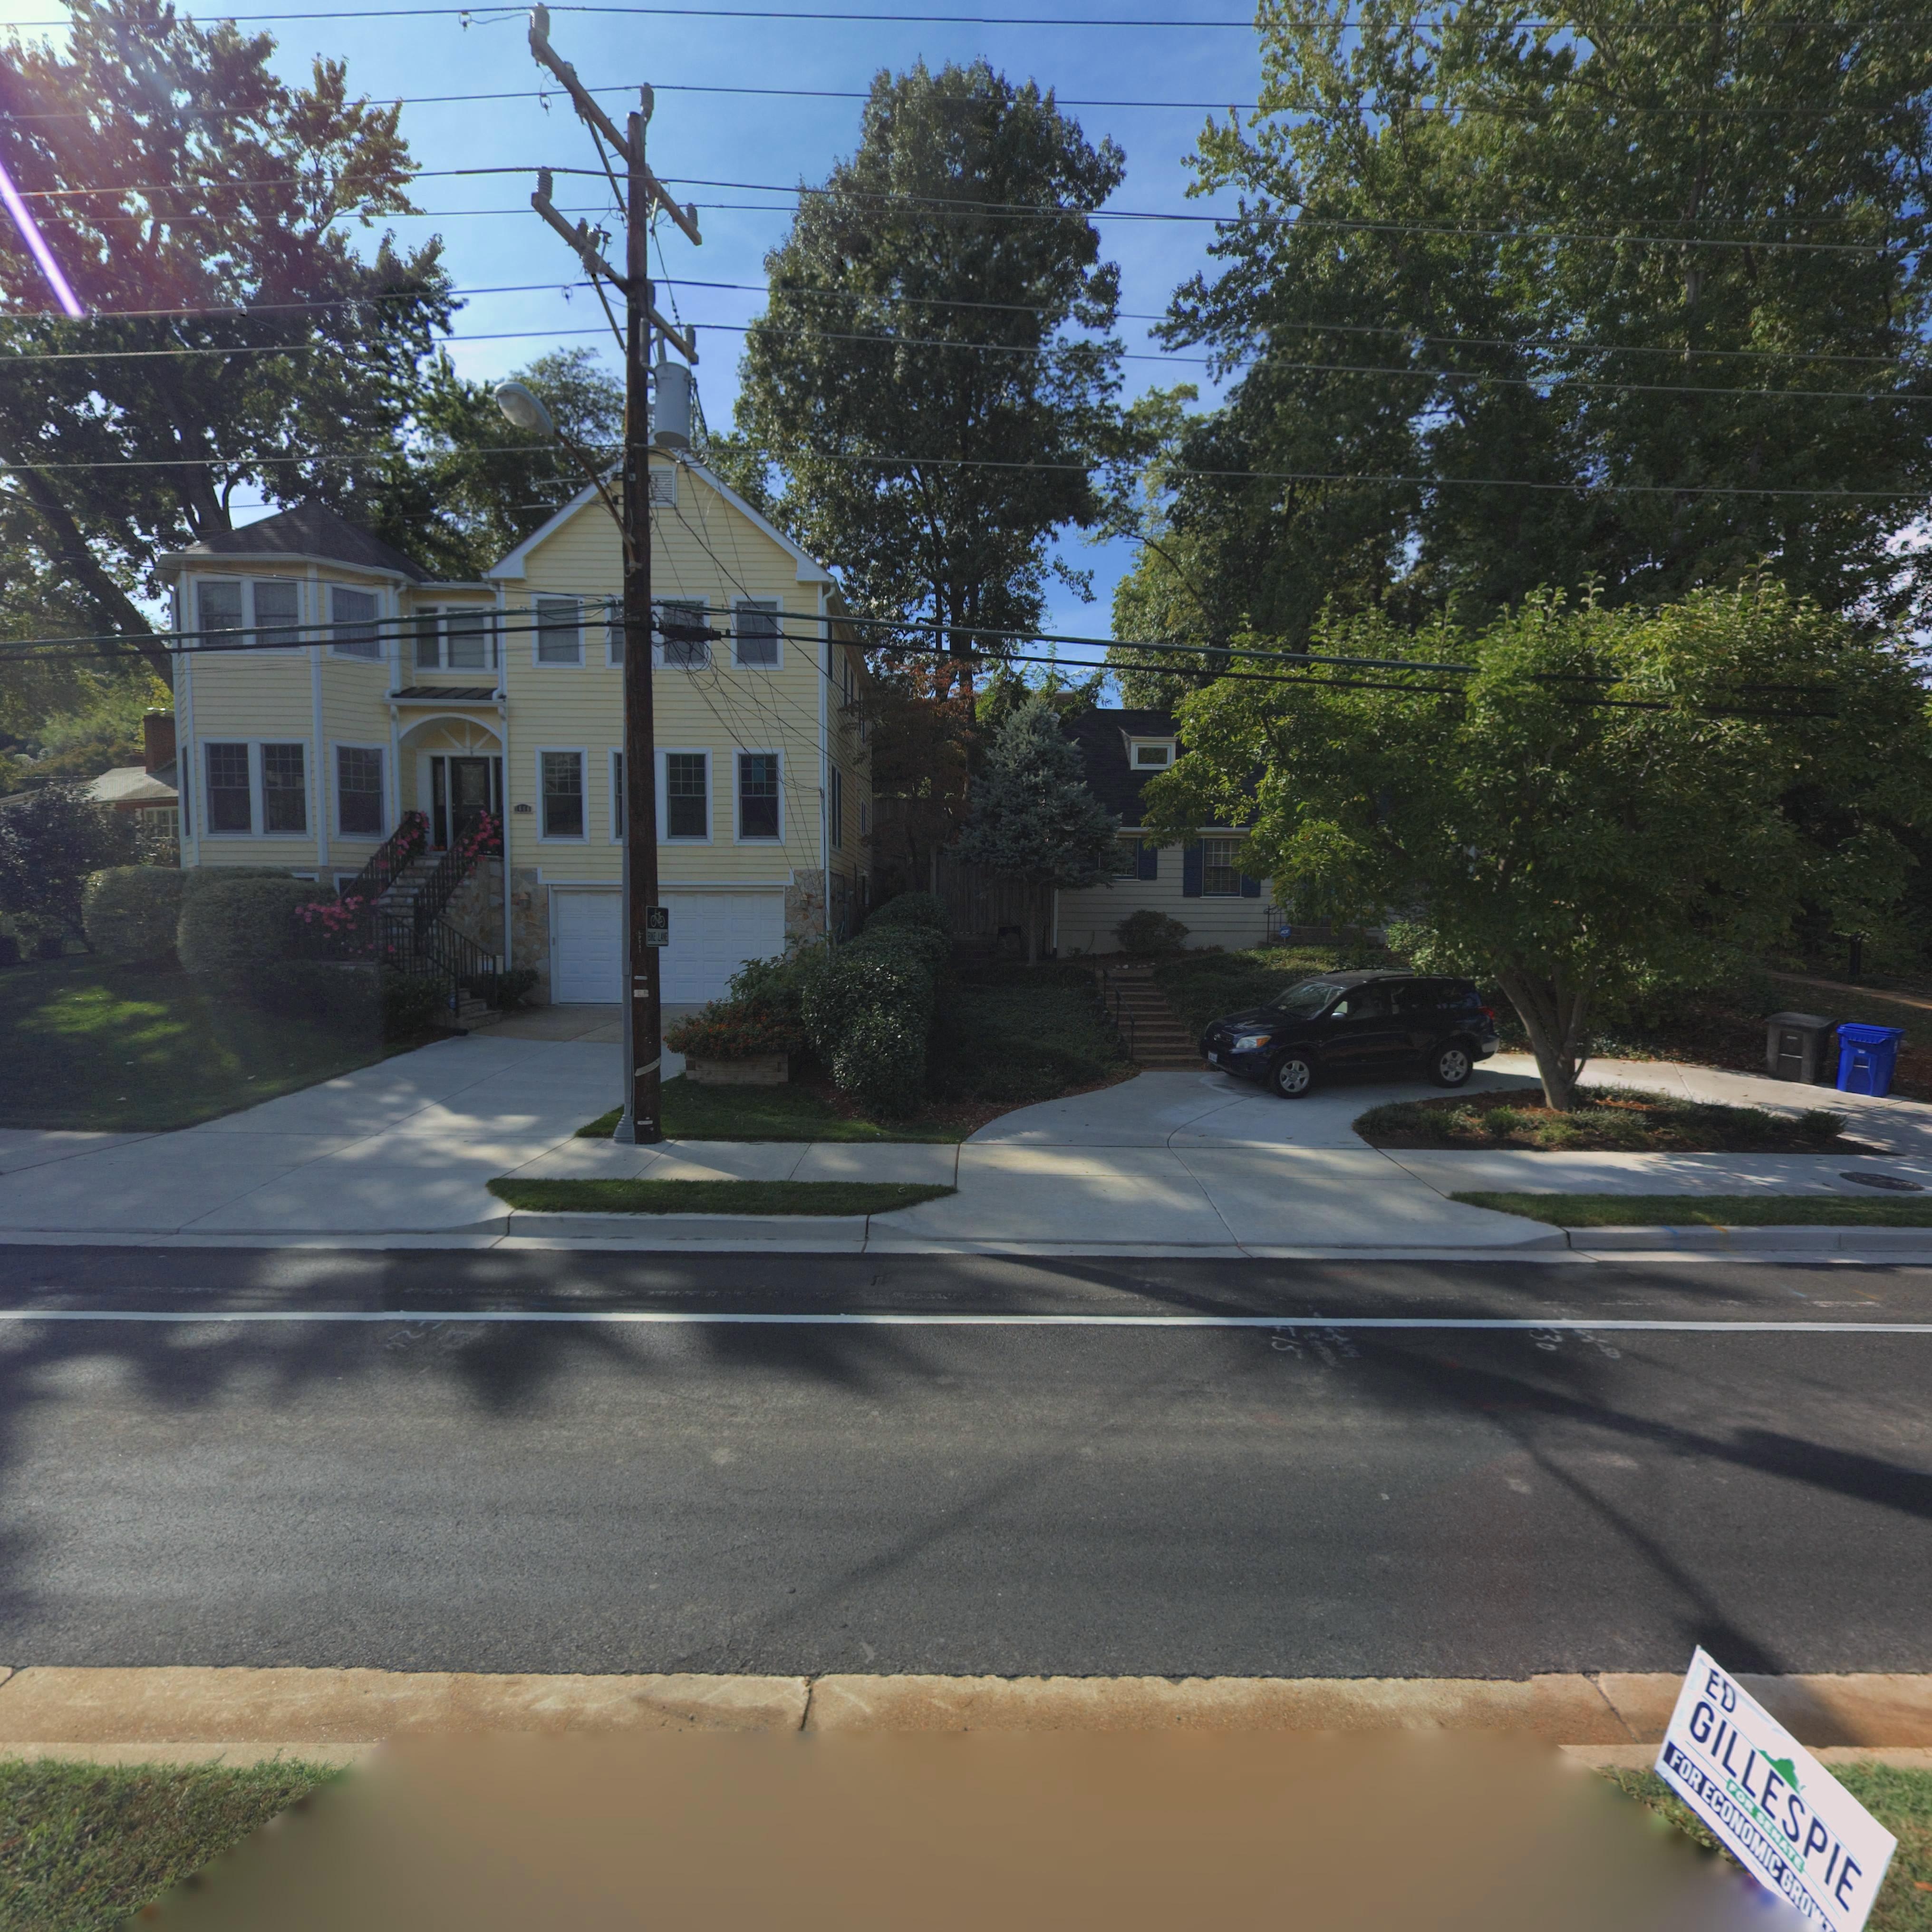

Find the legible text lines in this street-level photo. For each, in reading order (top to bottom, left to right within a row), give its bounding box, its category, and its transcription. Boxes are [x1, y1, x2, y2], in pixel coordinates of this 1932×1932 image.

[652, 931, 668, 942] None: E LANE
[1279, 929, 1290, 935] None: ADT
[1700, 1662, 1740, 1718] None: ED
[1666, 1745, 1815, 1920] None: FOR ECONOMIC GRO
[1725, 1778, 1807, 1874] None: FOR SENATE
[1685, 1697, 1867, 1917] None: GILLESPIE